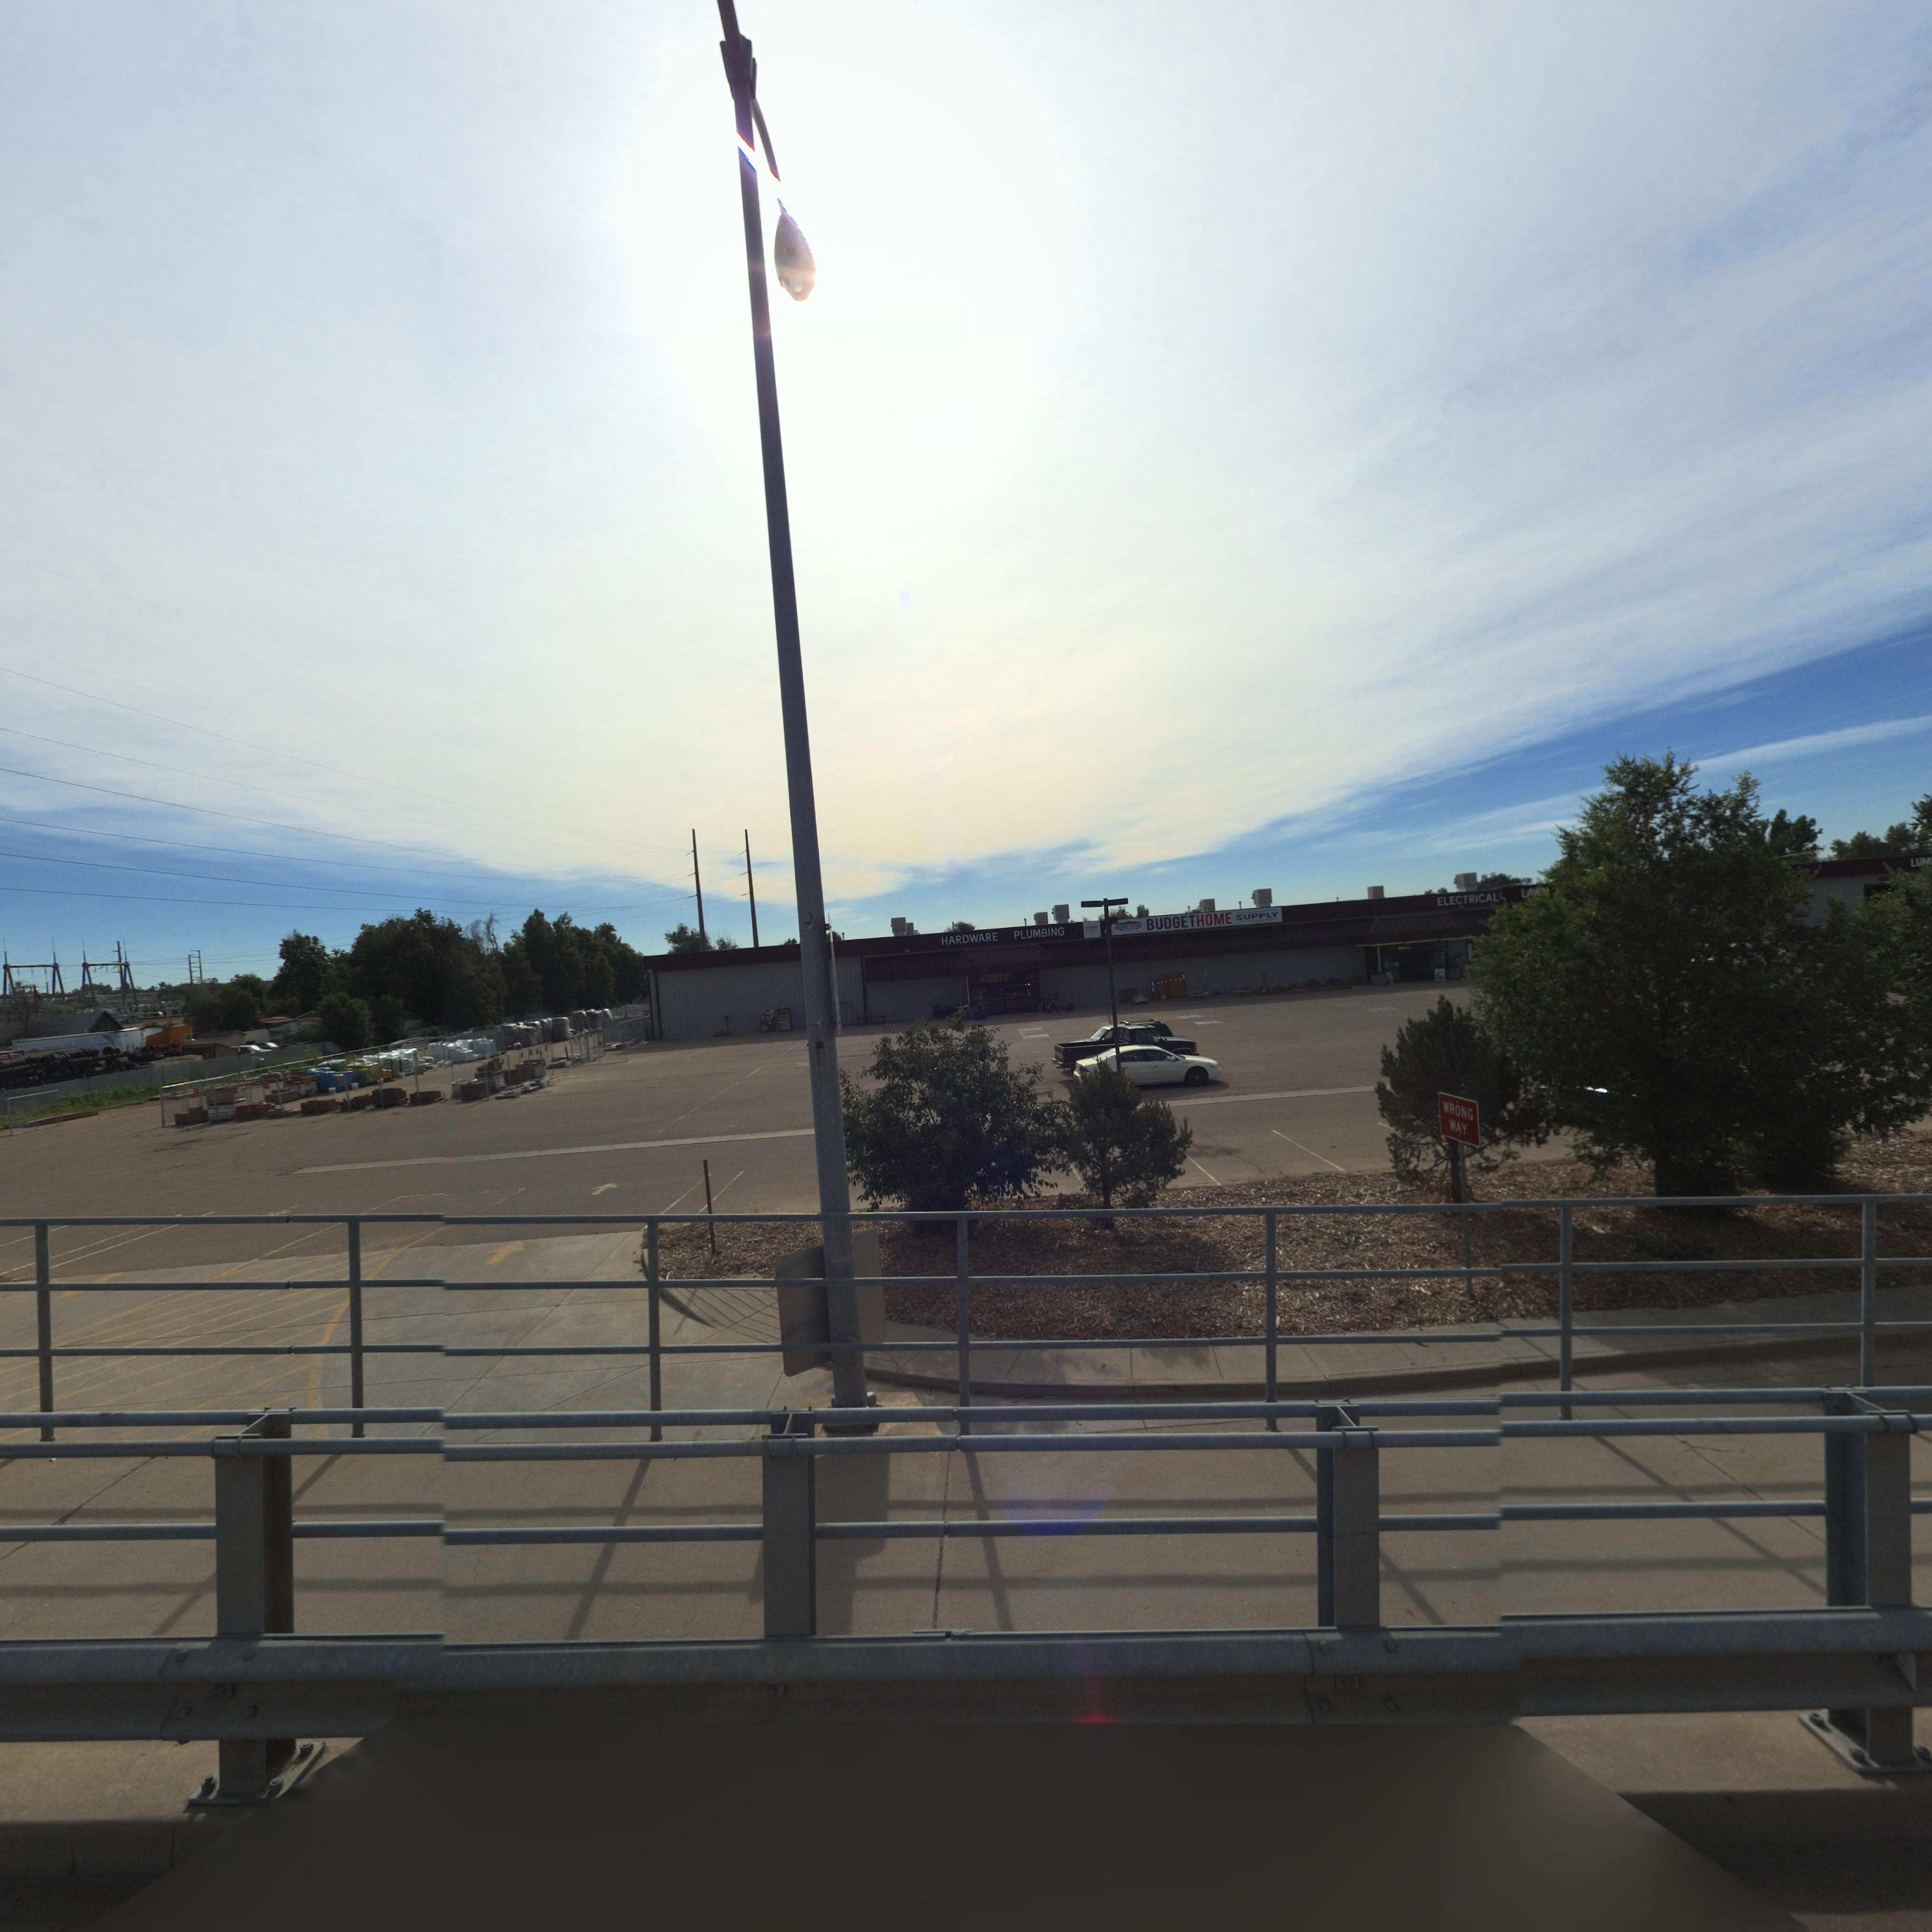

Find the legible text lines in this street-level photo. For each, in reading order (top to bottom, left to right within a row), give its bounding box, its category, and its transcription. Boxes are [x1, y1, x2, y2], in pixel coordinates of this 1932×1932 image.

[1236, 911, 1278, 920] BusinessName: SUPPLY
[1115, 922, 1142, 929] BusinessName: B***E*****
[1145, 911, 1233, 931] BusinessName: BUDGETHOME